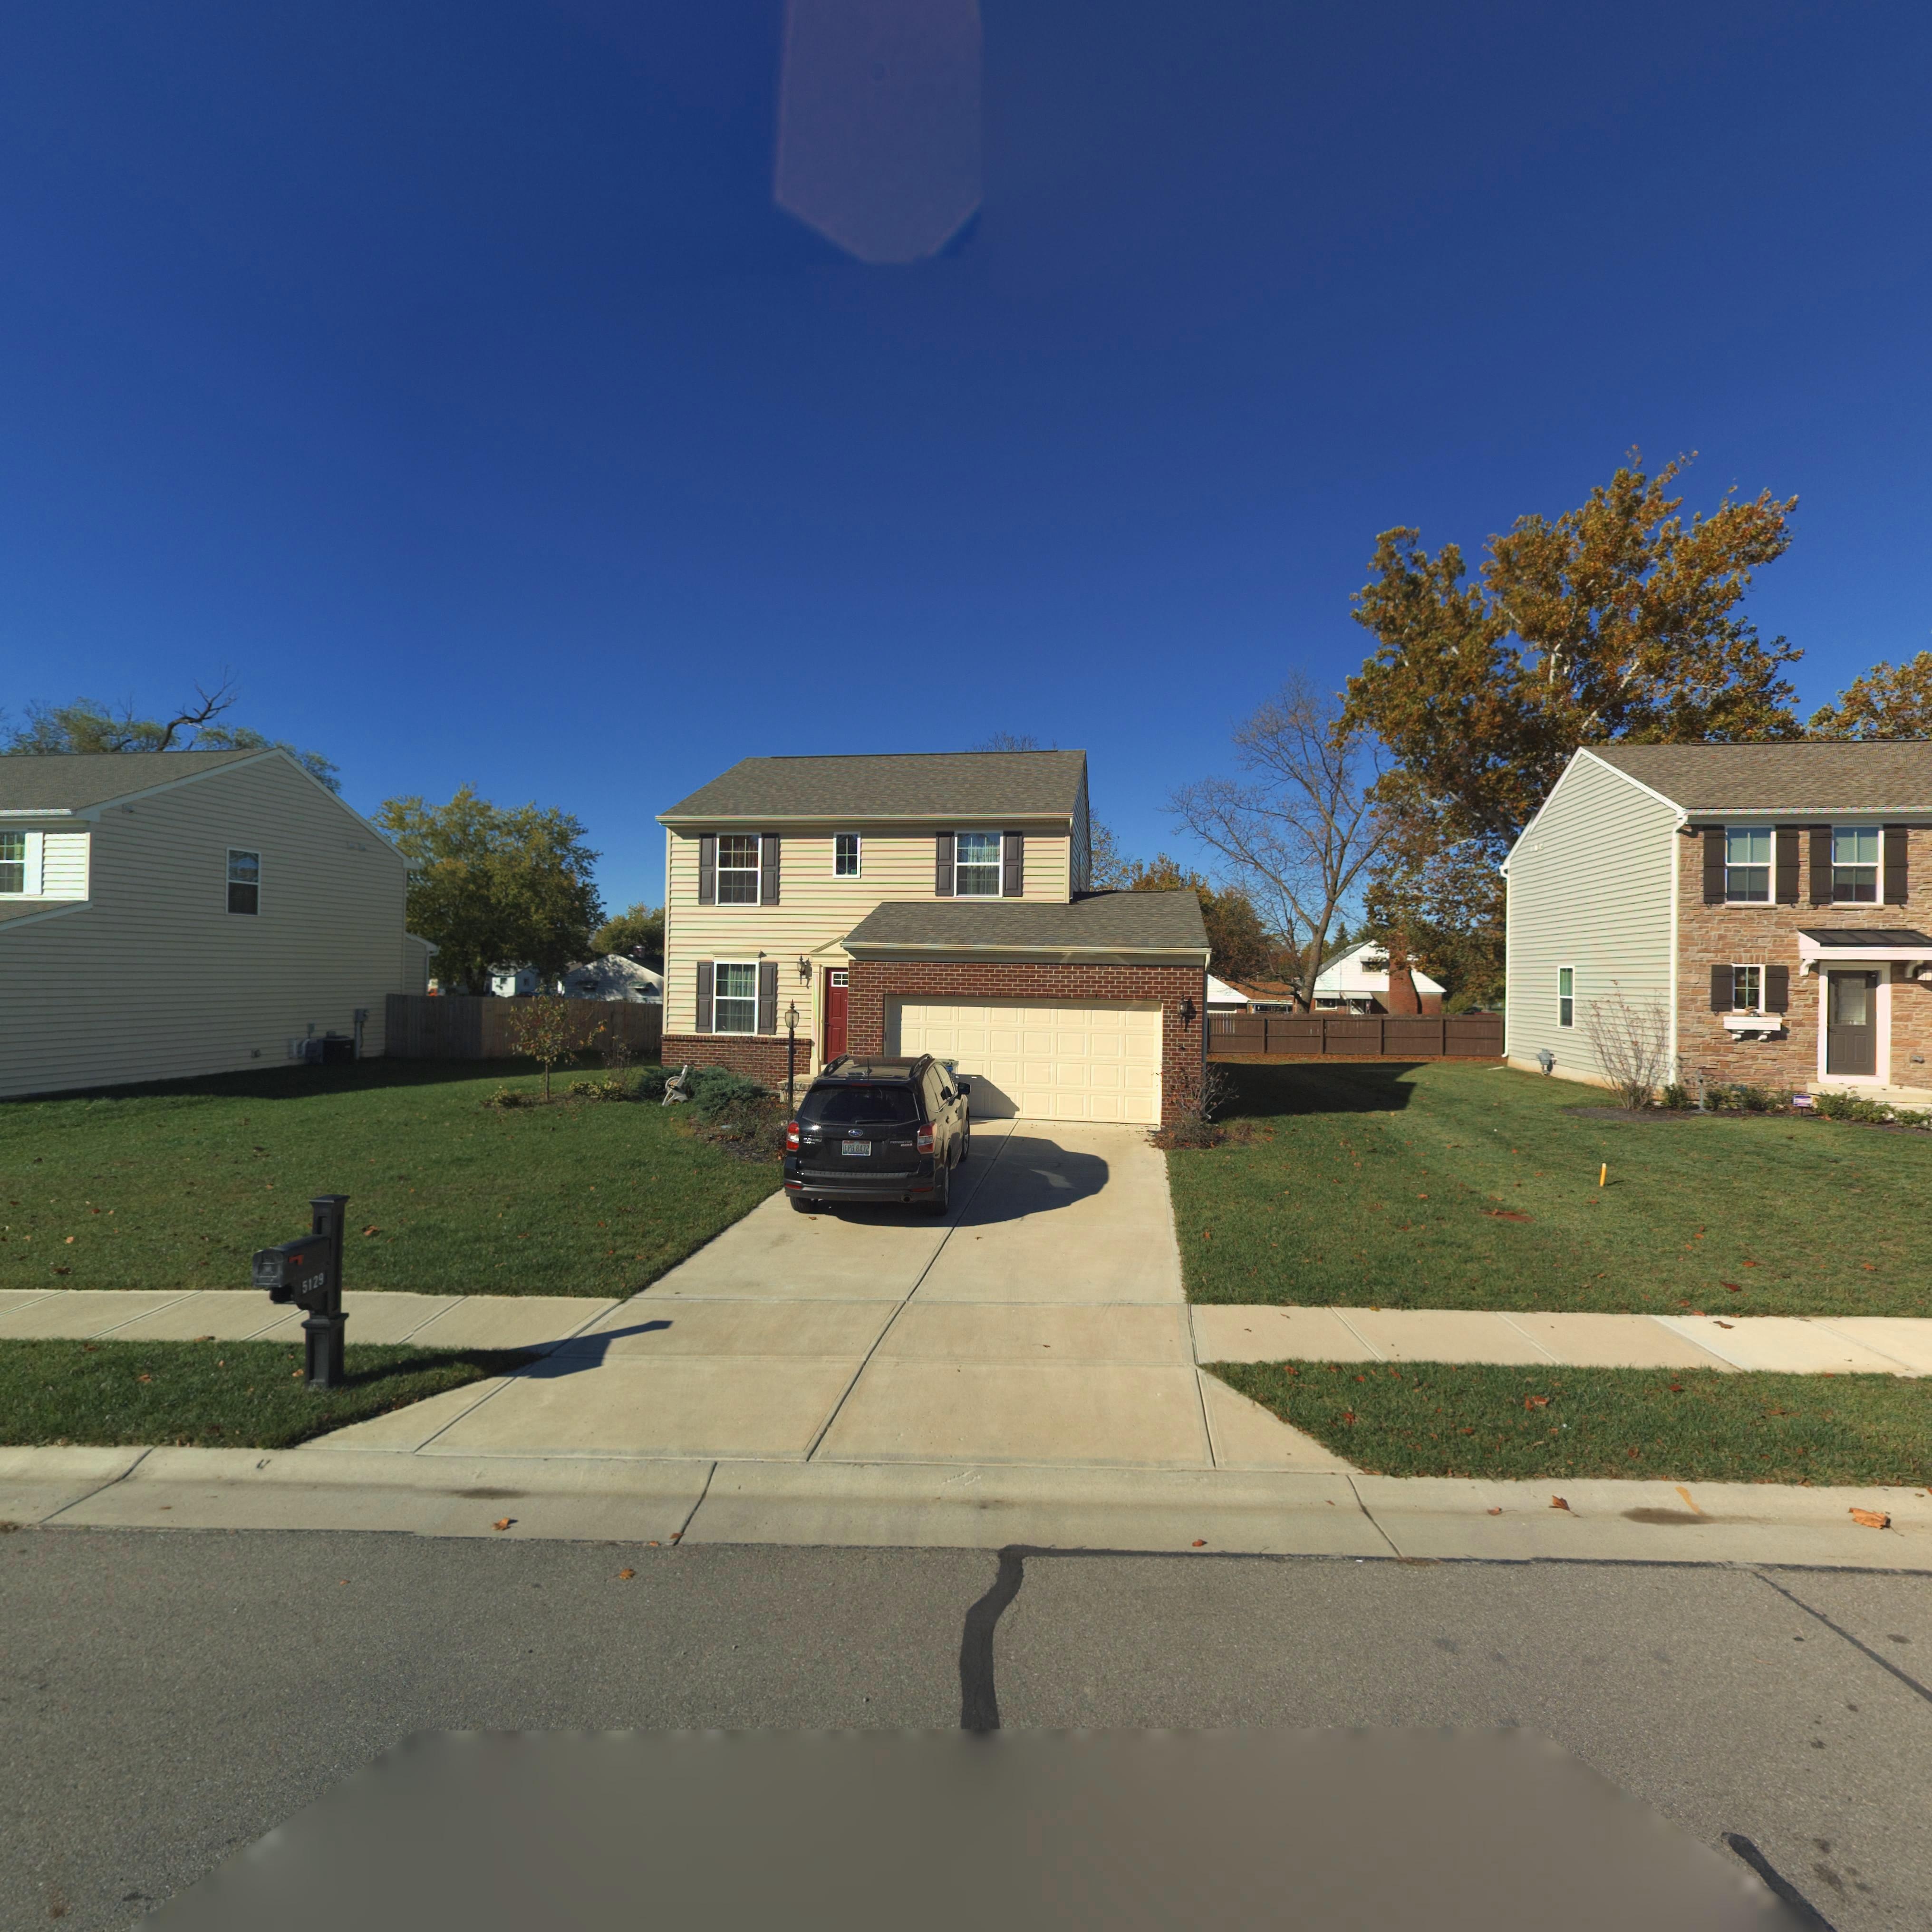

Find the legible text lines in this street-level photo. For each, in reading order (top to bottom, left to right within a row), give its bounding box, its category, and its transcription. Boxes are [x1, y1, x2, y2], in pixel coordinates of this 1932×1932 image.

[301, 1271, 324, 1295] StreetNumber: 5129